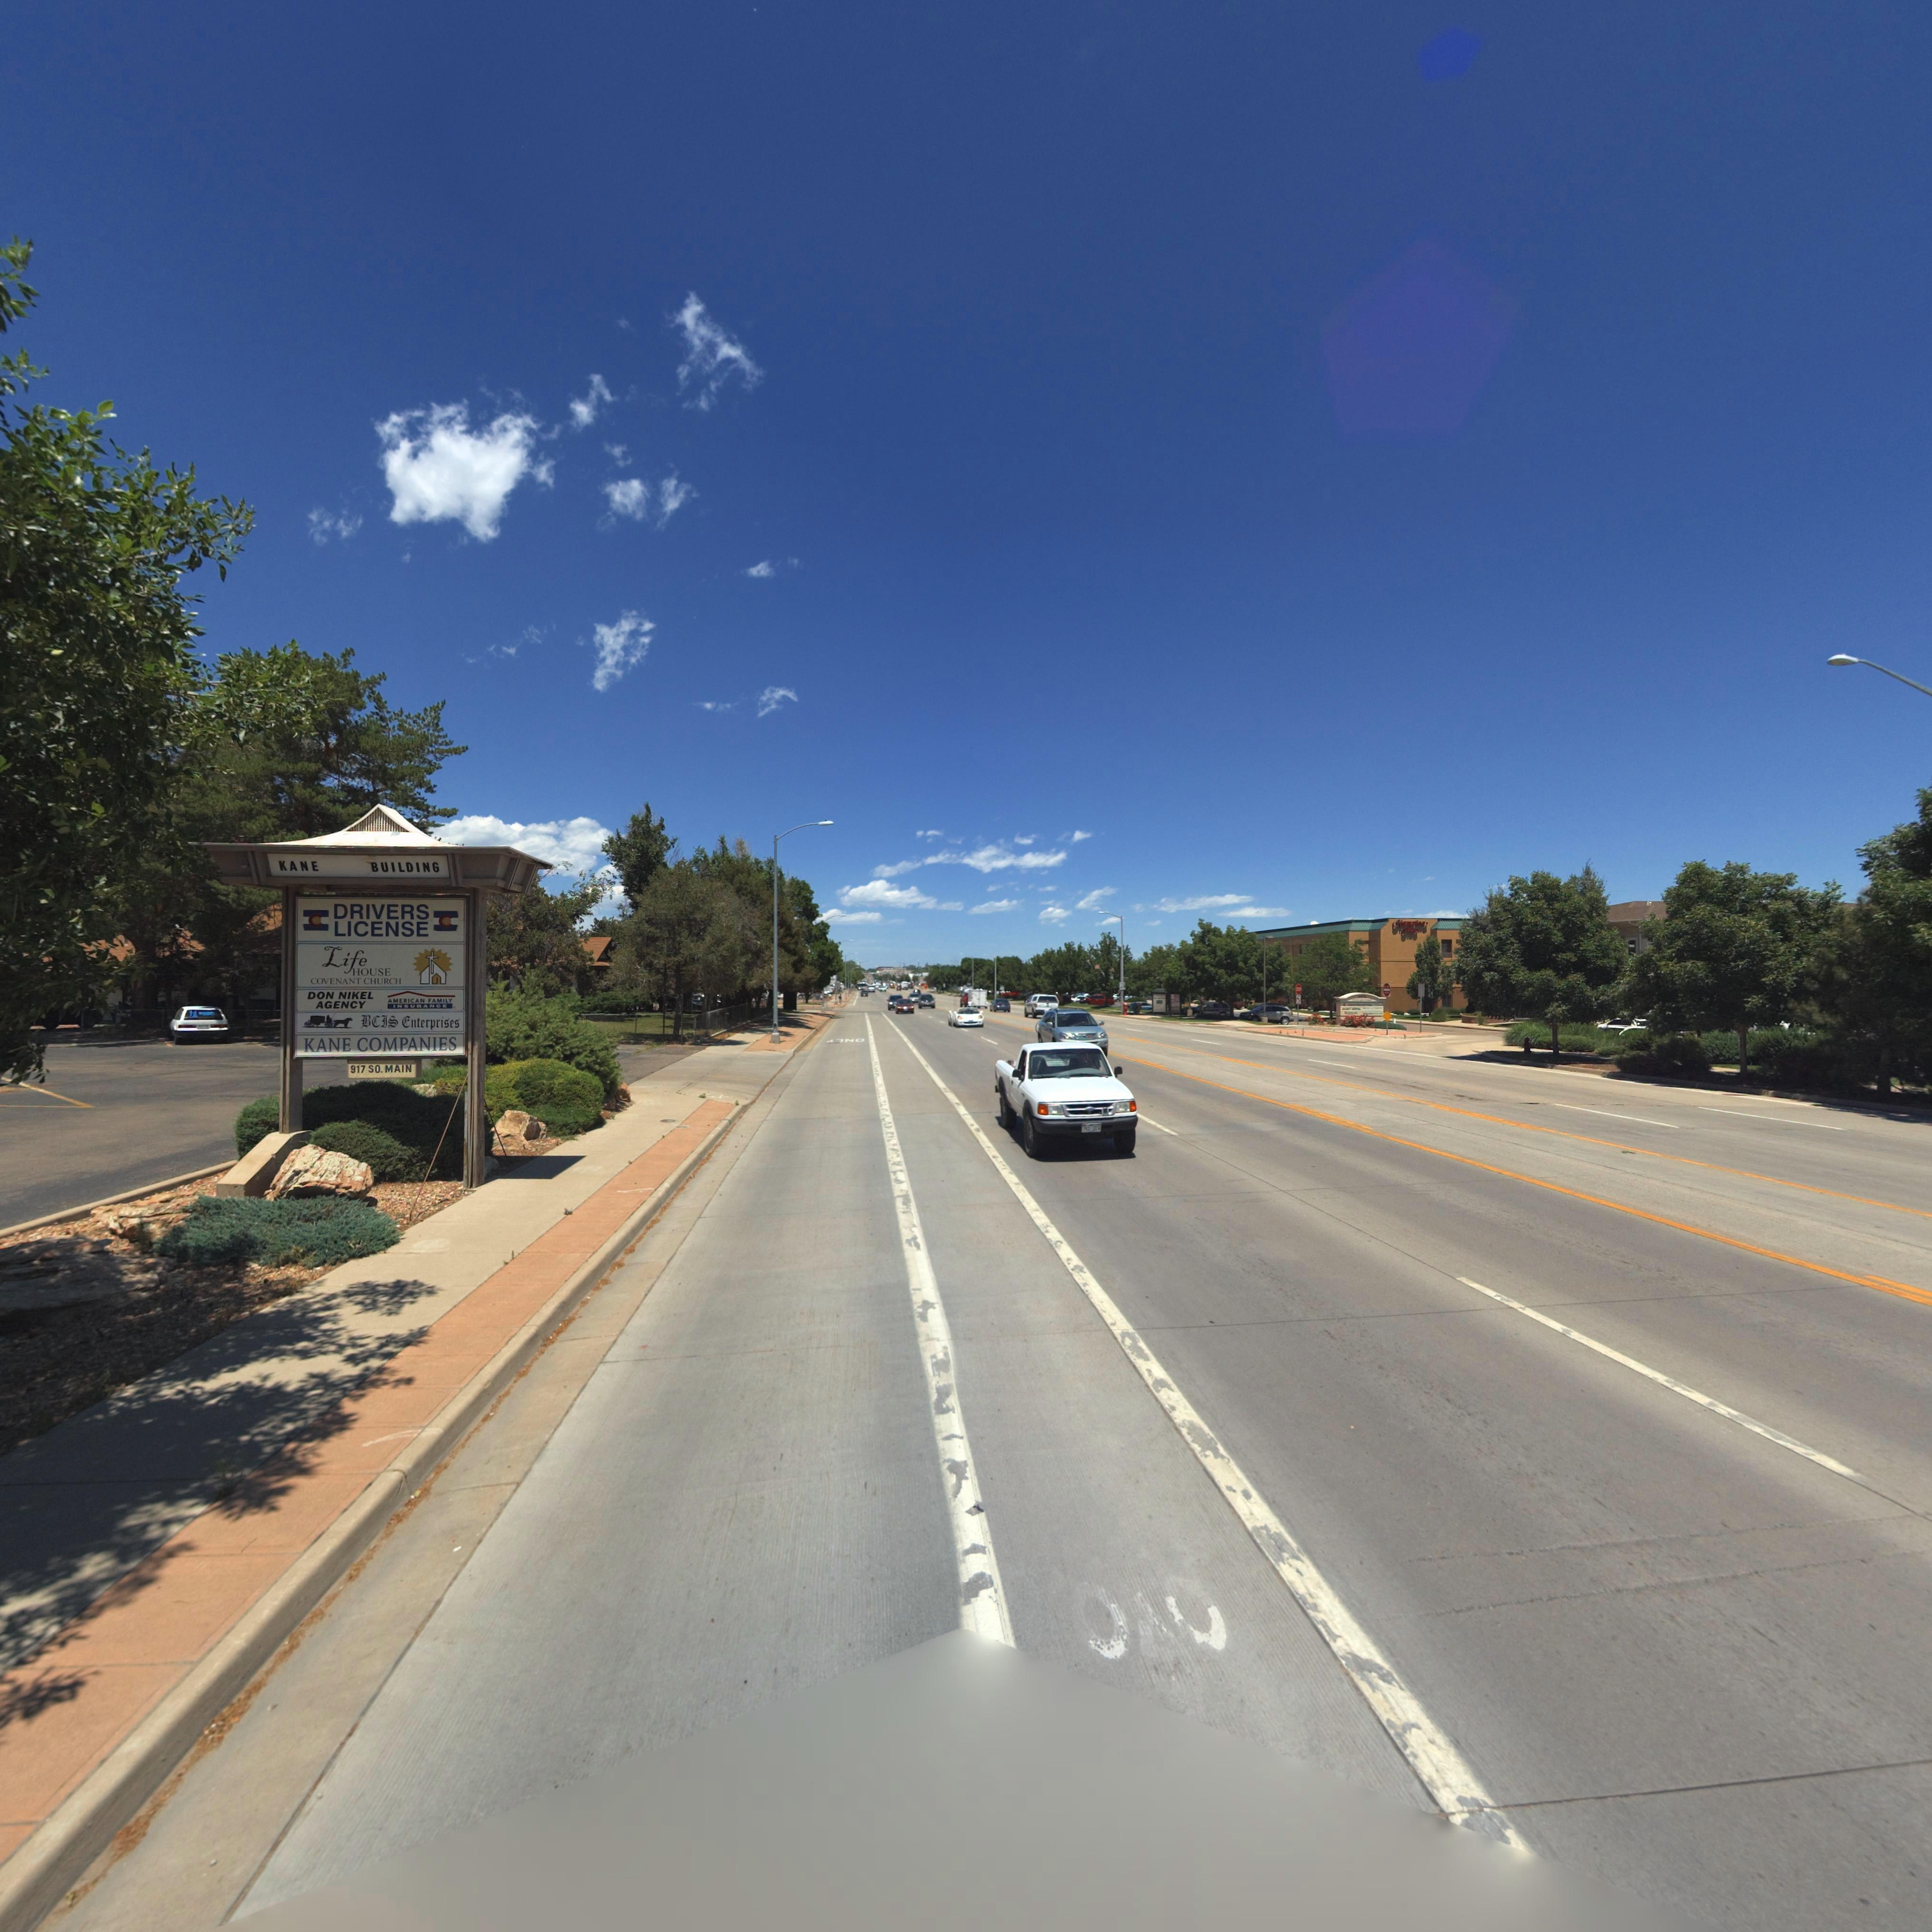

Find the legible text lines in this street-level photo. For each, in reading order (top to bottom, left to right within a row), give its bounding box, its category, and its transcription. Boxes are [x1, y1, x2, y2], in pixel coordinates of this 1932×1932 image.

[332, 902, 431, 921] BusinessName: DRIVERS
[333, 919, 430, 937] BusinessName: LICENSE
[323, 949, 368, 967] BusinessName: Life
[352, 967, 392, 976] BusinessName: HOUSE
[310, 976, 402, 985] BusinessName: COVENANT CHURCH
[387, 998, 453, 1003] BusinessName: AMERICAN FAMILY
[393, 1004, 447, 1008] BusinessName: INSURANCE
[362, 1014, 460, 1030] BusinessName: BCIS Enterprises
[304, 1035, 458, 1053] BusinessName: KANE COMPANIES
[350, 1064, 366, 1074] StreetNumber: 917
[367, 1063, 412, 1073] StreetName: SO. MAIN